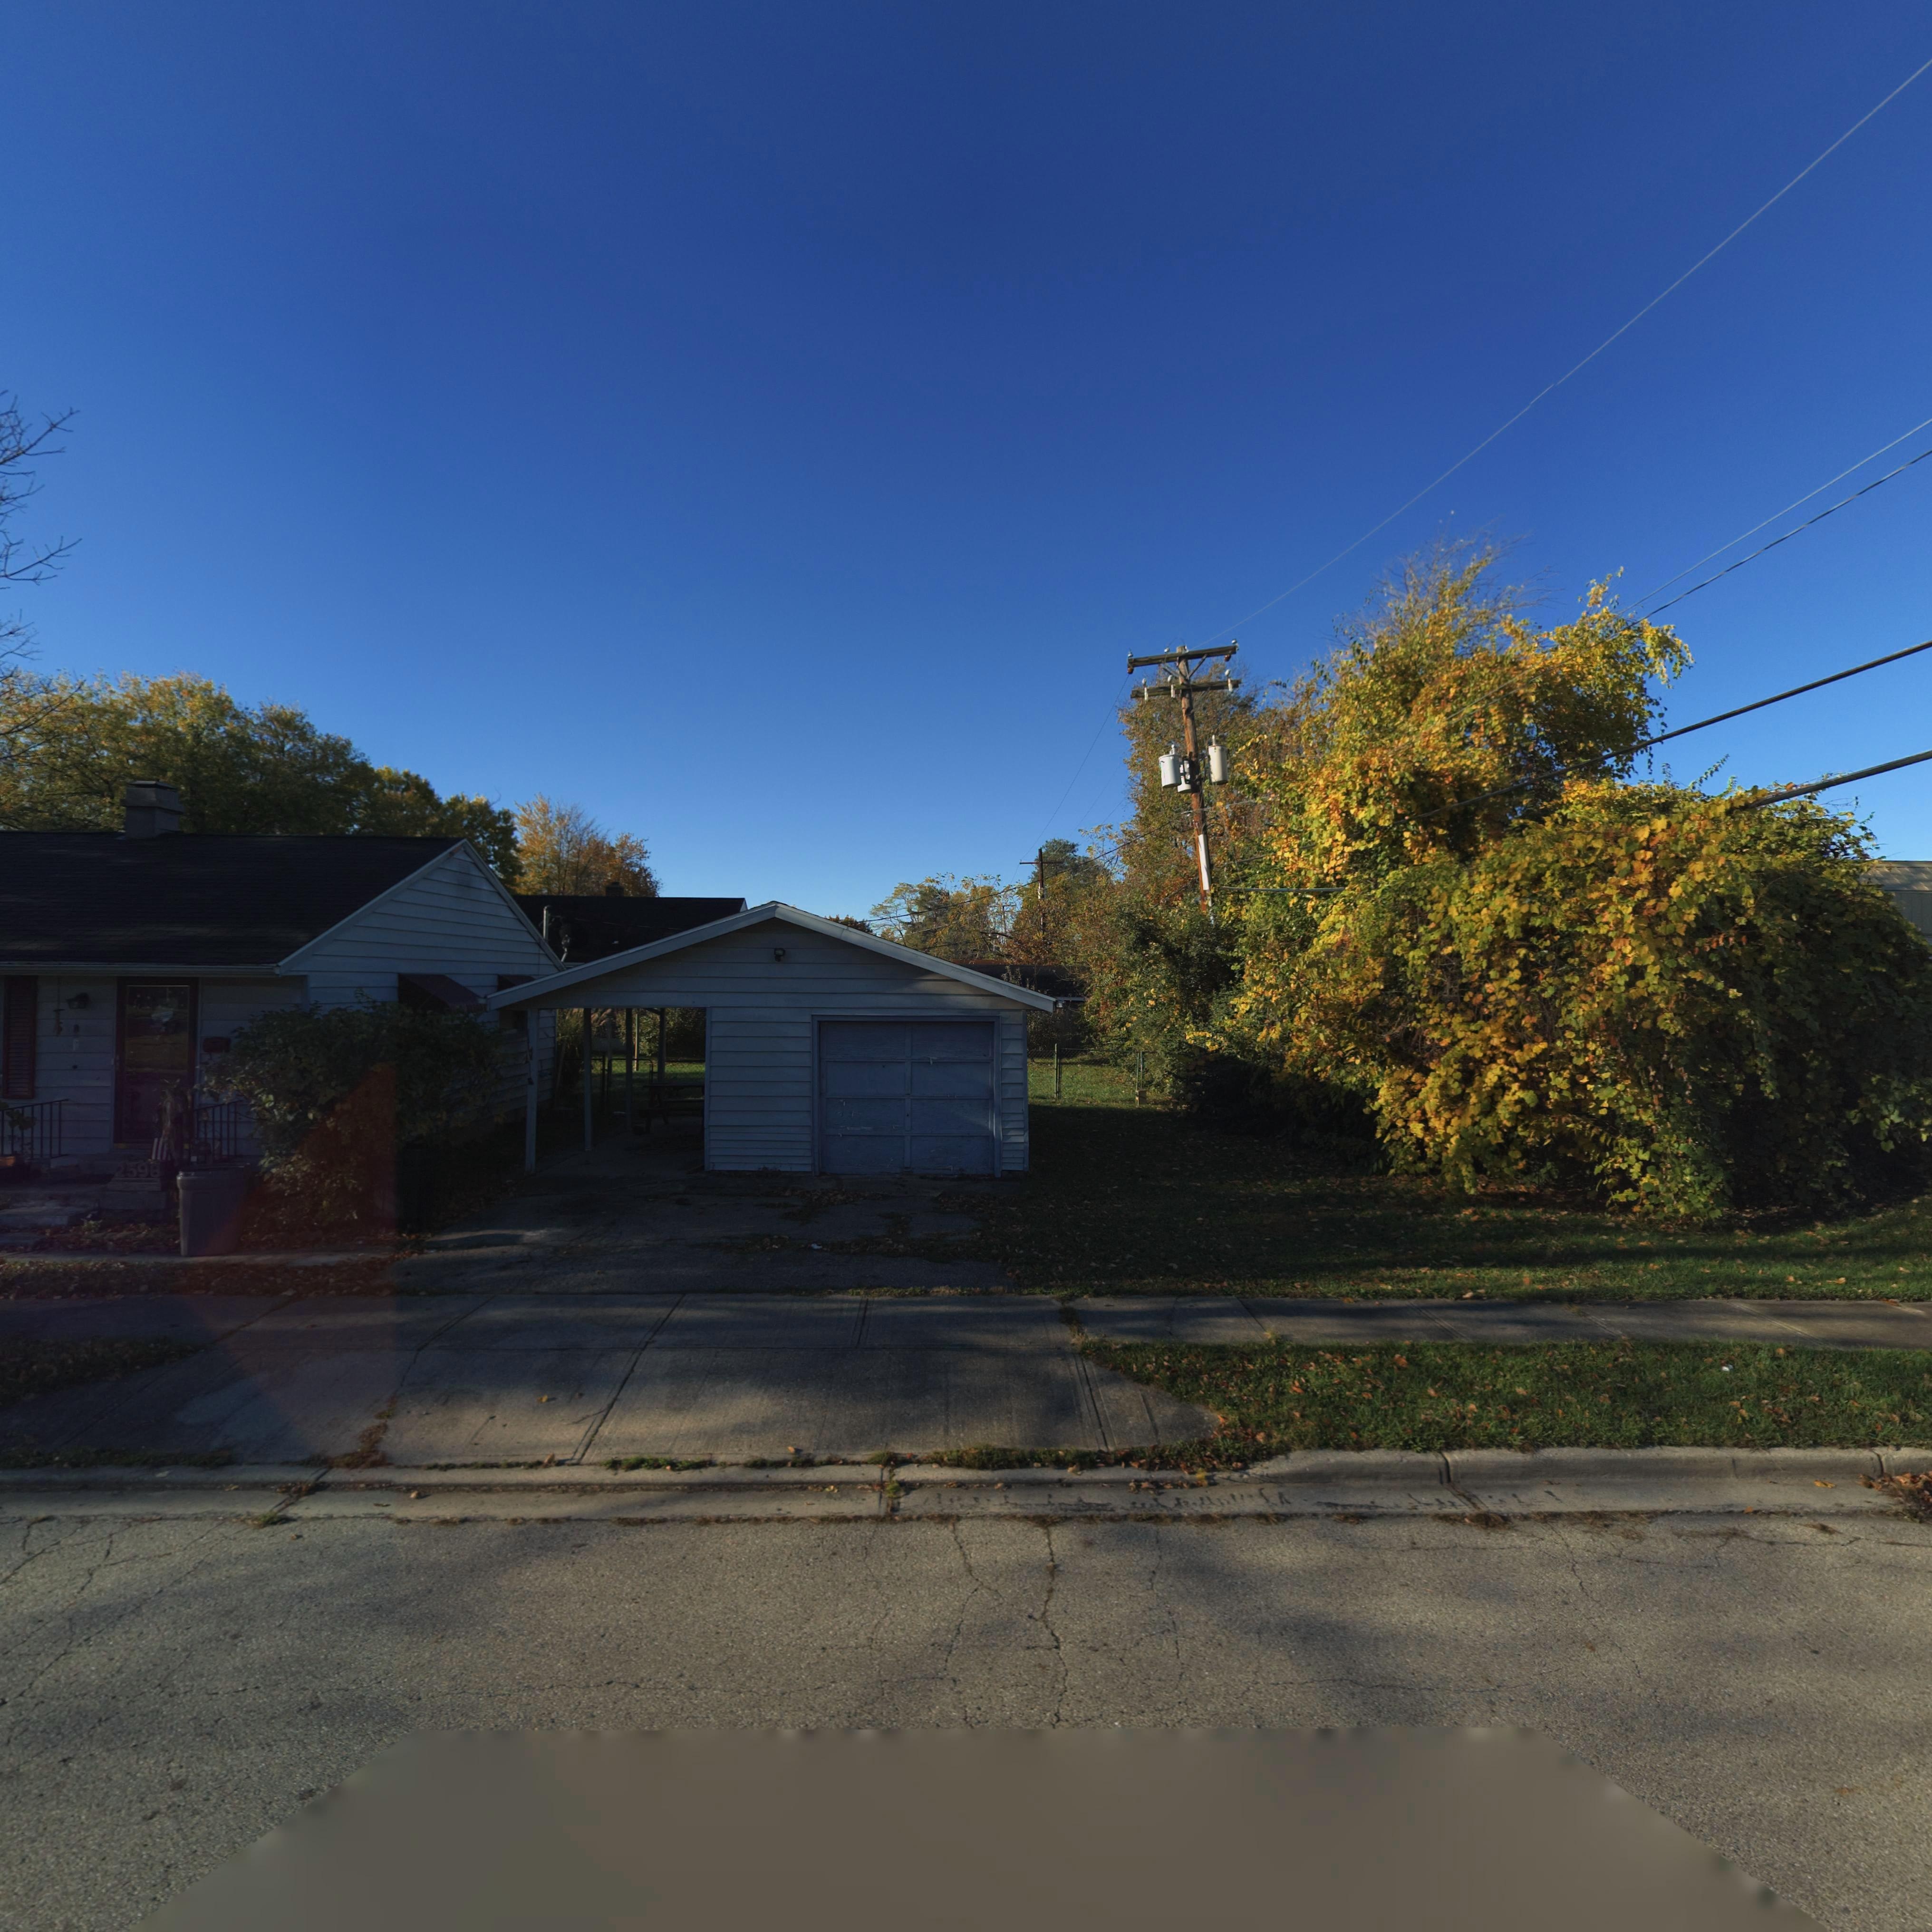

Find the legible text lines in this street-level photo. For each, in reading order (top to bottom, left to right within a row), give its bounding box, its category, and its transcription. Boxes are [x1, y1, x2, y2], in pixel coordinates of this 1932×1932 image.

[113, 1162, 161, 1179] StreetNumber: 2598